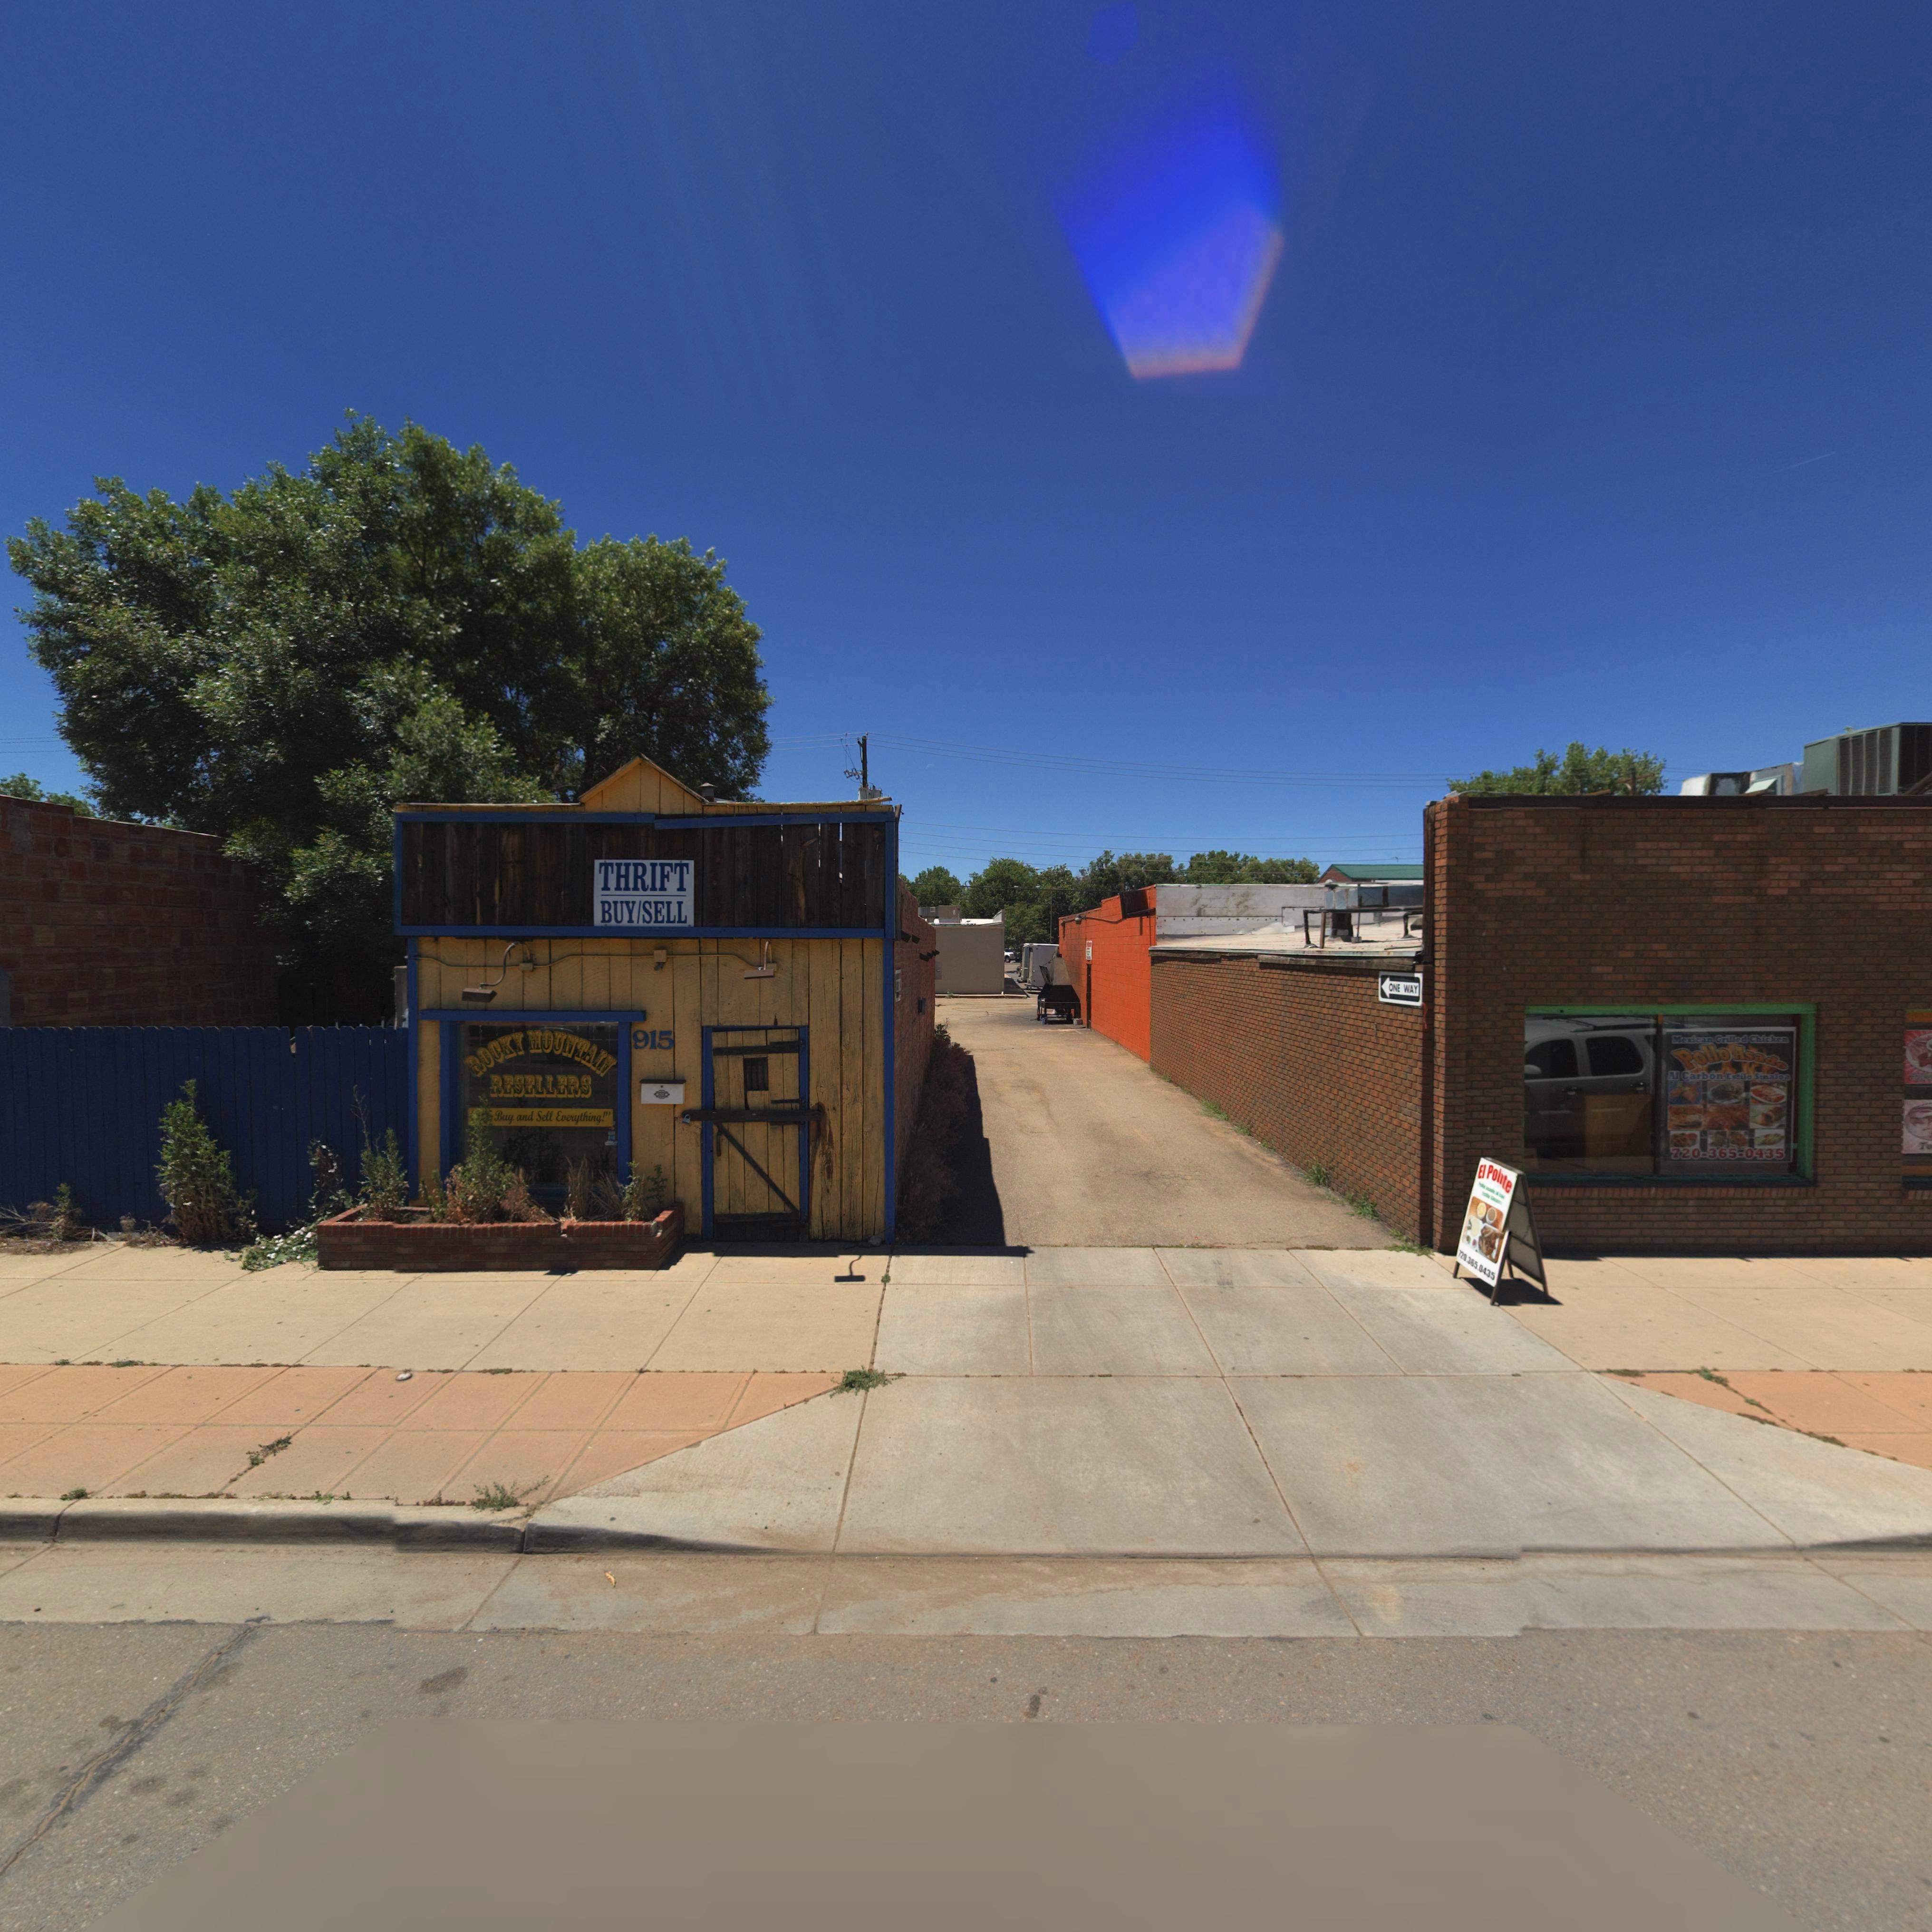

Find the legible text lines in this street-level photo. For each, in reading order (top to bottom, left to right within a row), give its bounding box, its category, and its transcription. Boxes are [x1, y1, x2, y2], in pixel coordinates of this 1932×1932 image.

[461, 1029, 618, 1078] BusinessName: ROCKY MOUNTAIN
[632, 1030, 676, 1050] StreetNumber: 915
[489, 1074, 592, 1098] BusinessName: RESELLERS
[1477, 1164, 1512, 1194] BusinessName: El Polite